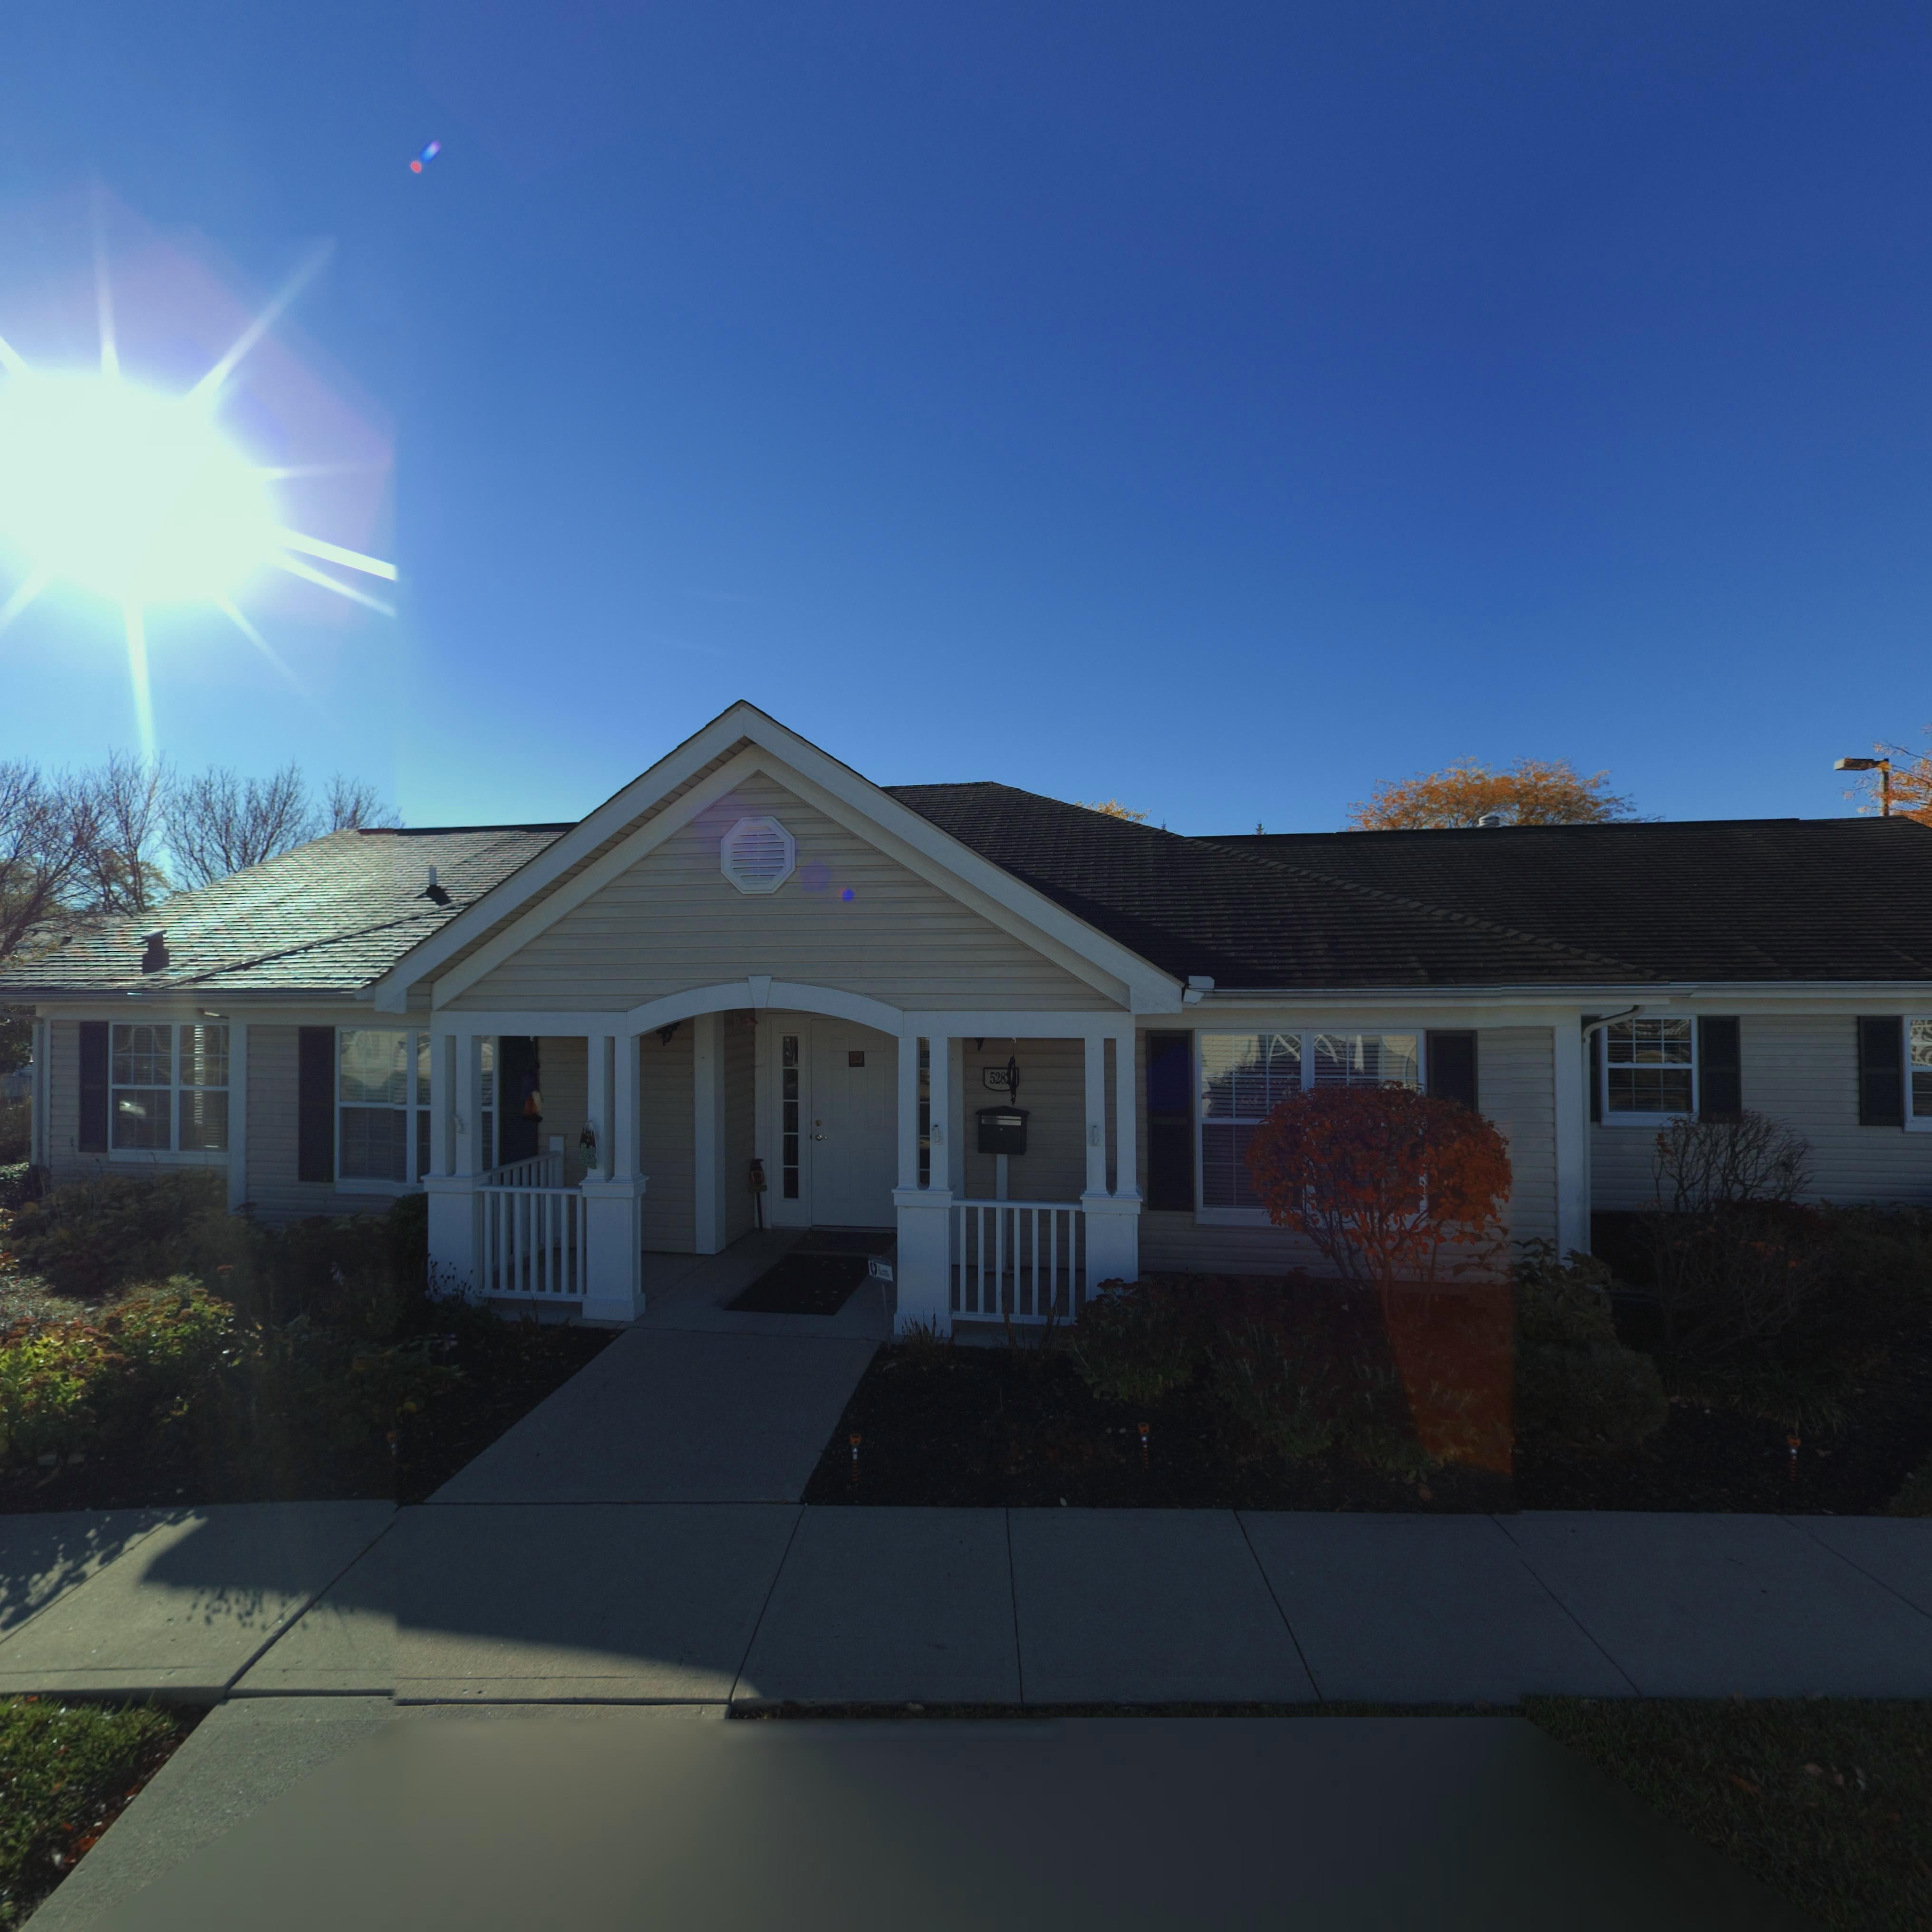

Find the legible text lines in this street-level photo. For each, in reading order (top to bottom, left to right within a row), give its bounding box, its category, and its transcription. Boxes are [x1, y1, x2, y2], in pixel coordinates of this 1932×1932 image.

[989, 1071, 1006, 1085] StreetNumber: 528